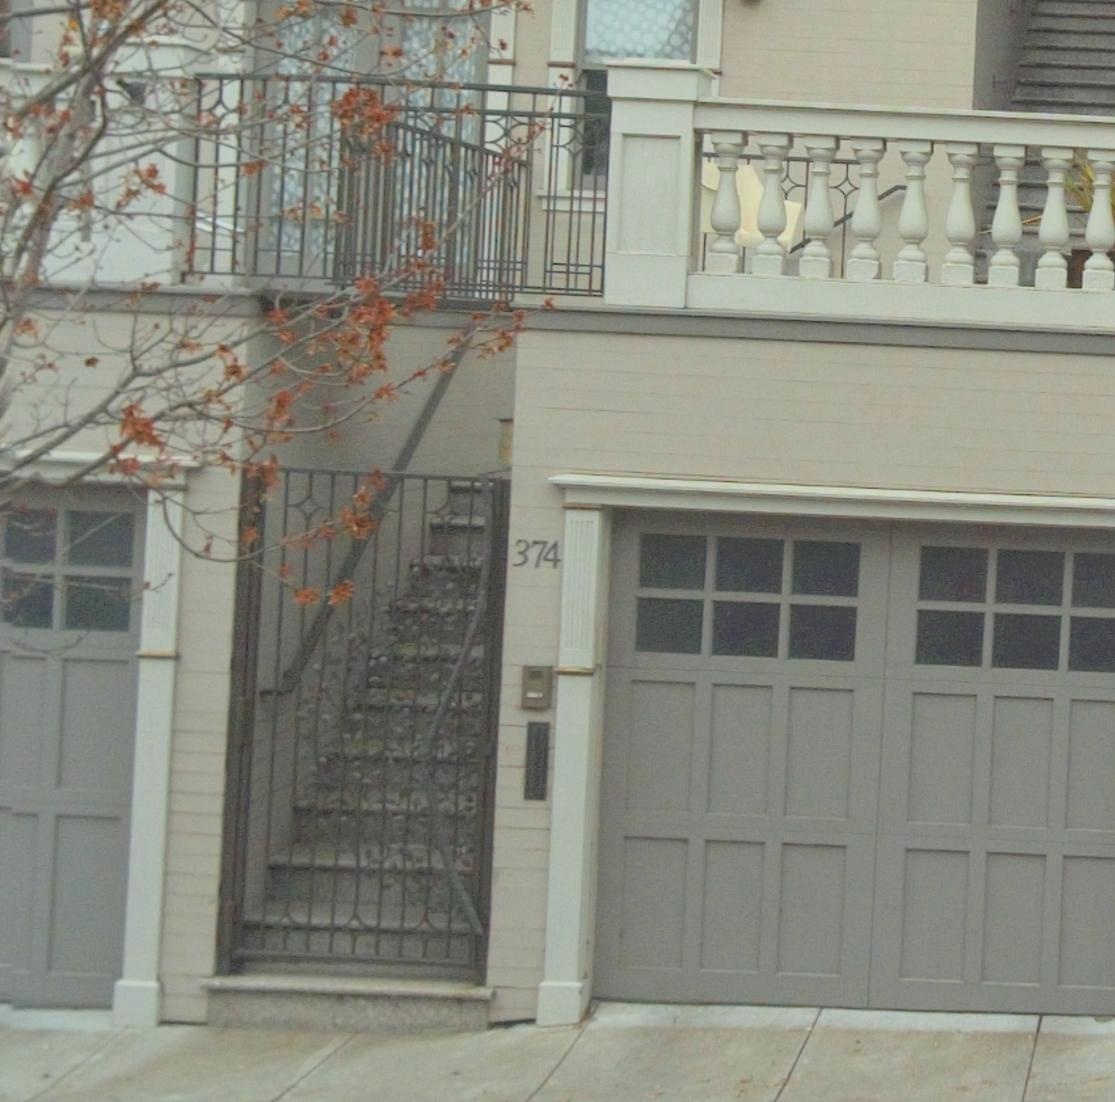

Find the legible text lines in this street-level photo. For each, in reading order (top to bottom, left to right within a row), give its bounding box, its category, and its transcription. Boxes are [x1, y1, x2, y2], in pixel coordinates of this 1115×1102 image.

[512, 538, 563, 571] StreetNumber: 374